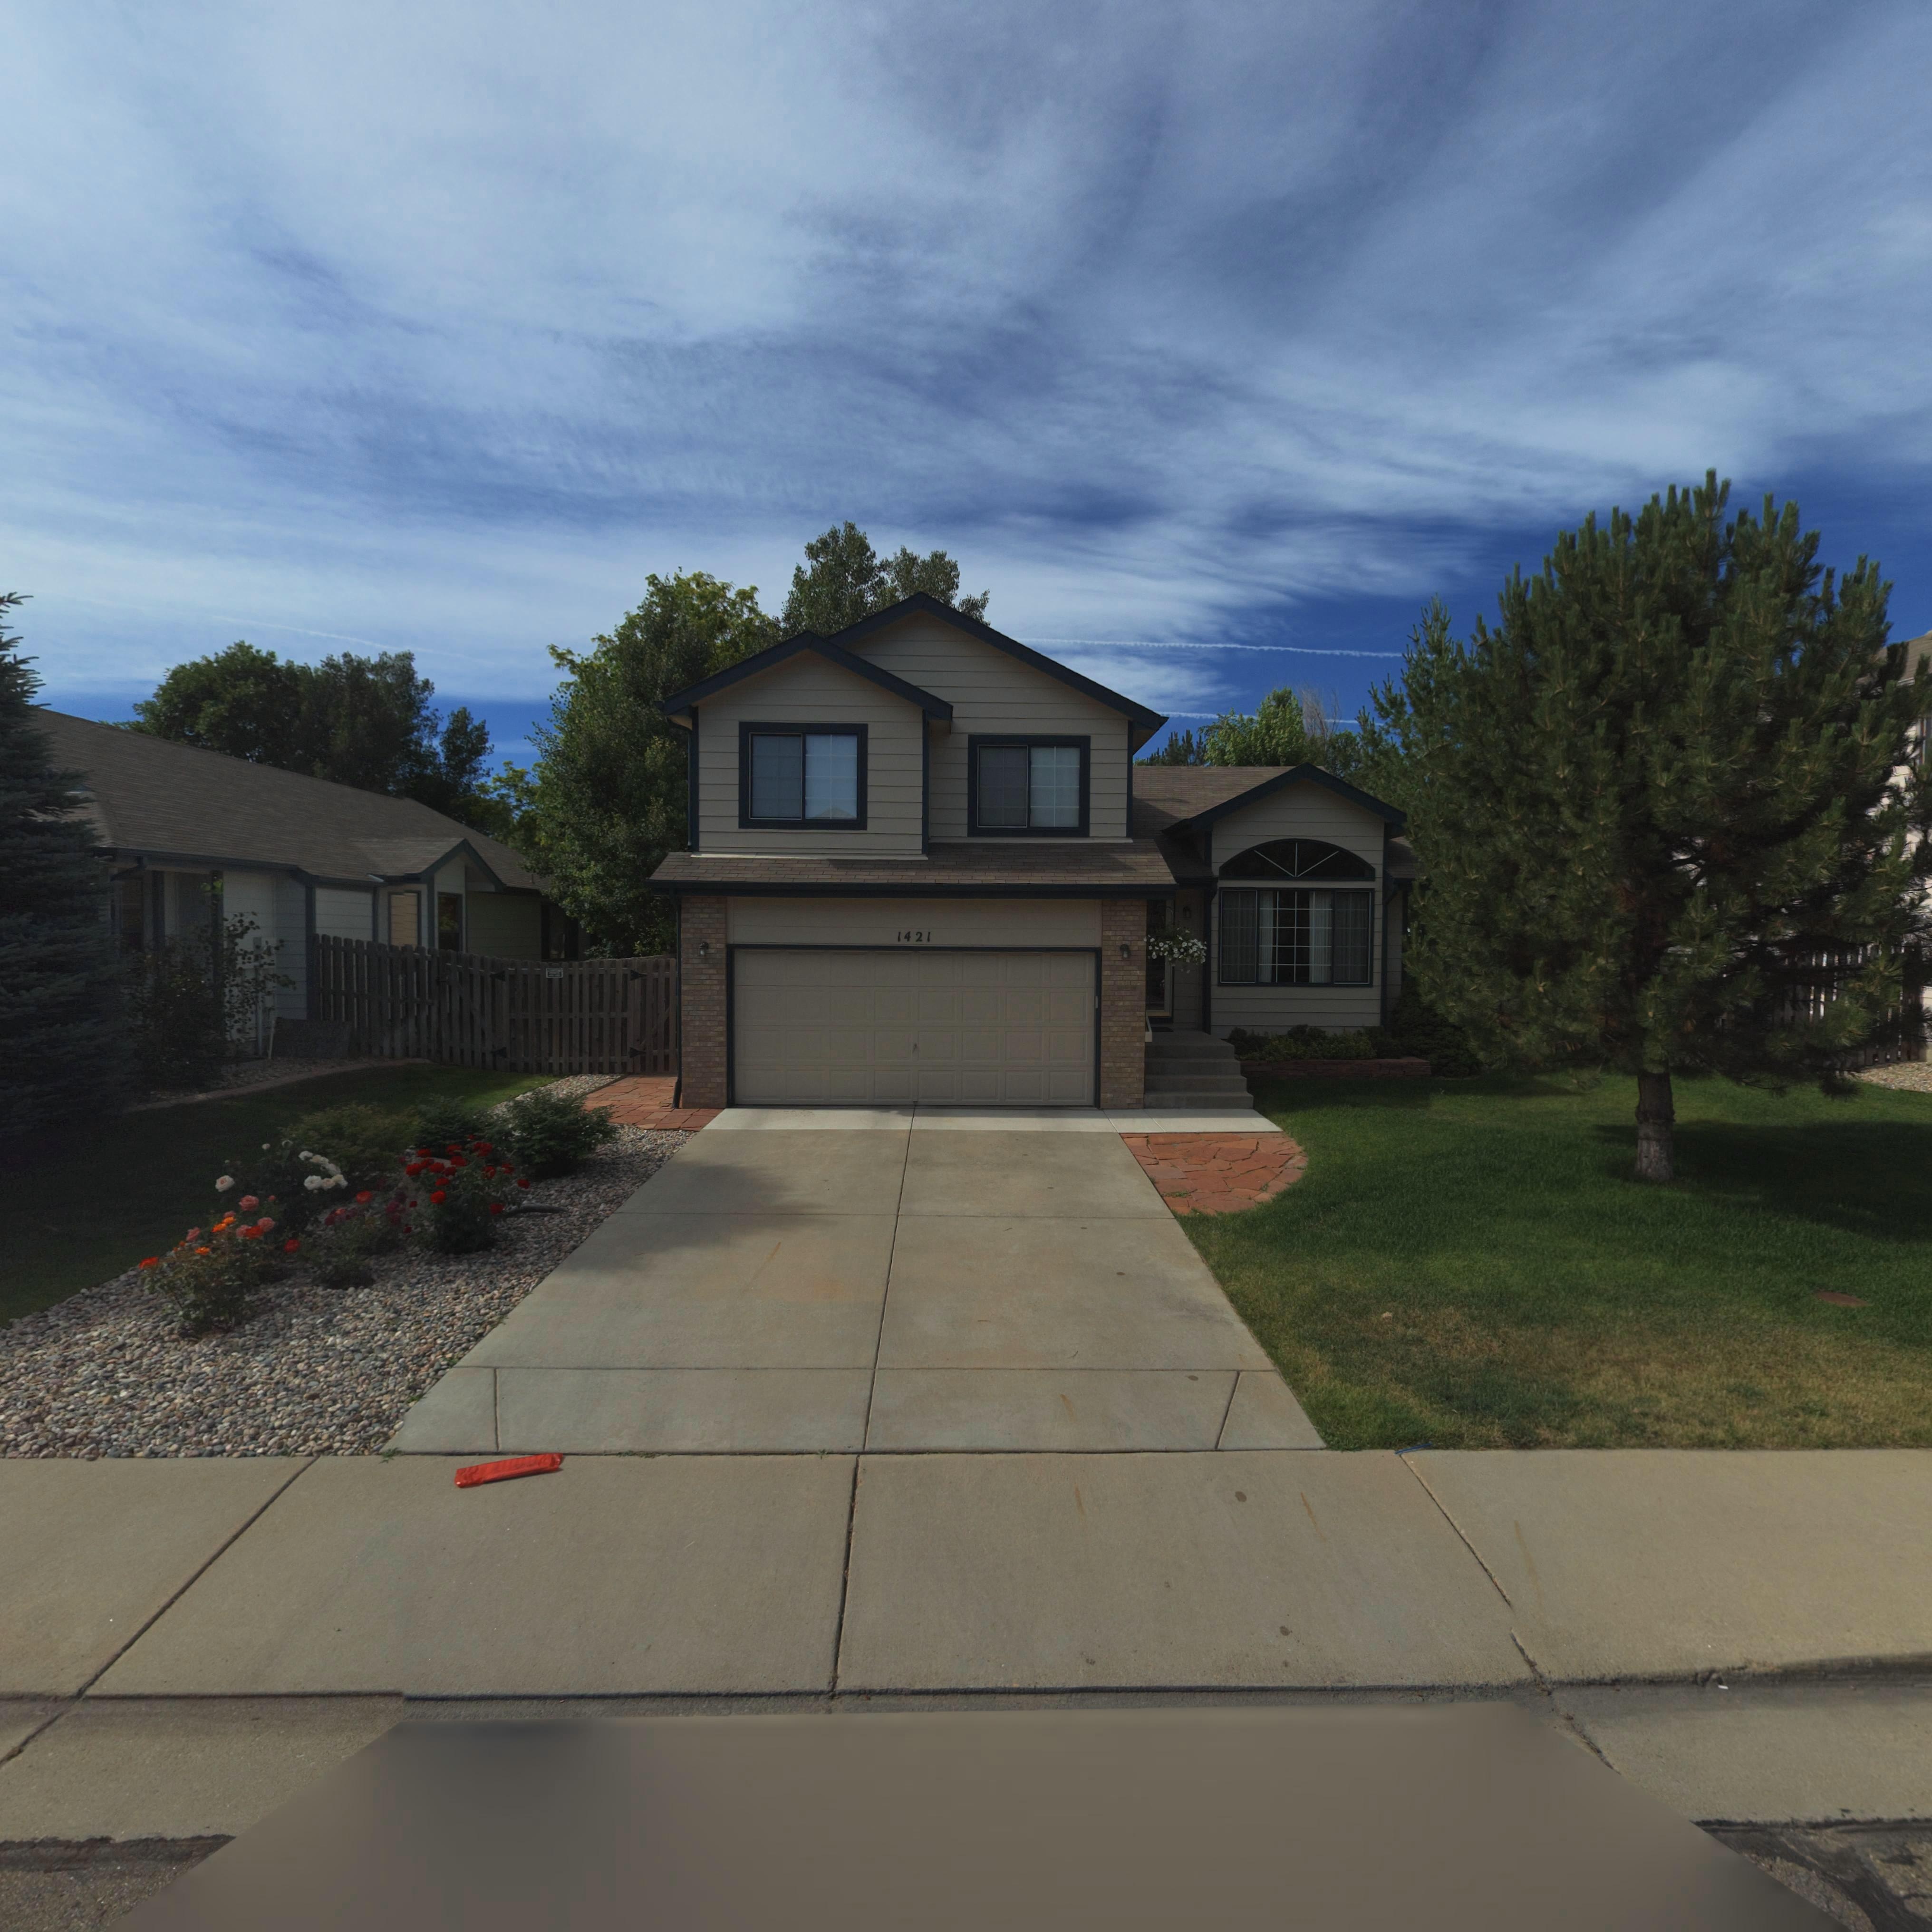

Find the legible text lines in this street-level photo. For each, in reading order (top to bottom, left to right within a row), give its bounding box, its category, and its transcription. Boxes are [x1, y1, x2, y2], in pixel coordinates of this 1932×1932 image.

[897, 930, 931, 942] StreetNumber: 1421